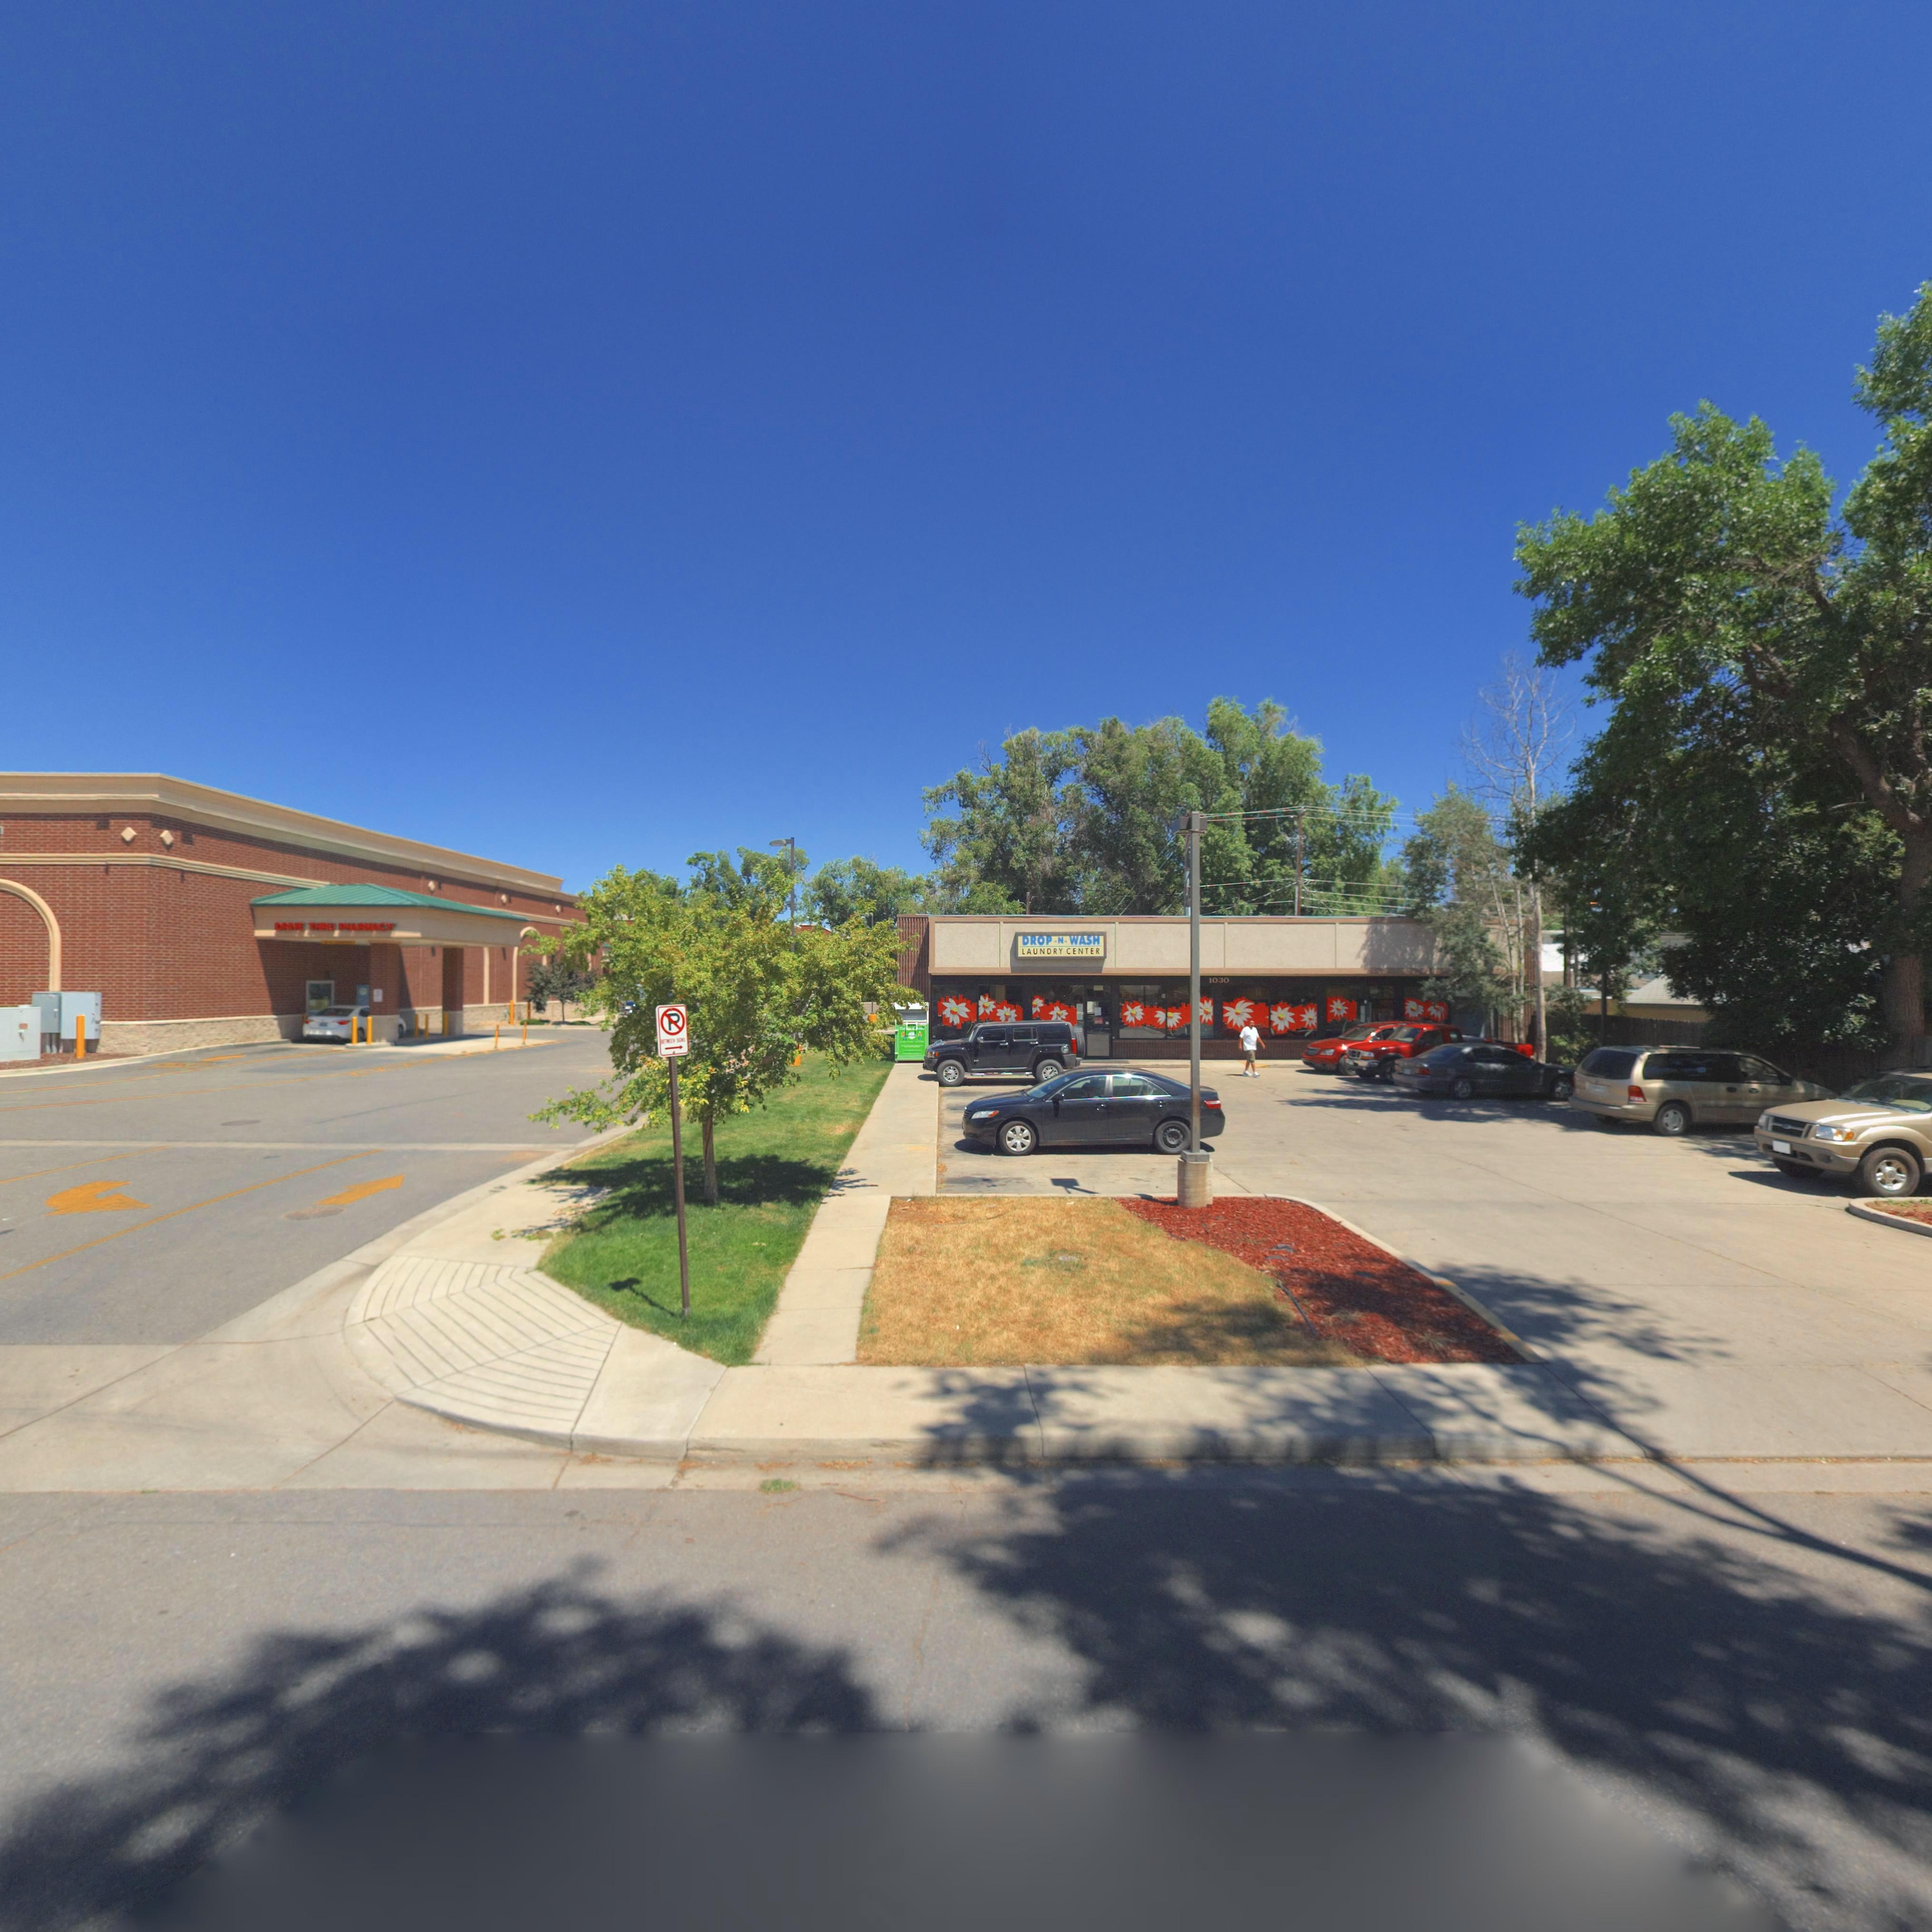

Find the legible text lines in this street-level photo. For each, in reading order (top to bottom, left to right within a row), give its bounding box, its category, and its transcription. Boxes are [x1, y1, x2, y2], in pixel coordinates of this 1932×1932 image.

[1022, 935, 1100, 946] BusinessName: DROP *N* WASH
[1021, 947, 1100, 955] BusinessName: LAUNDRY CENTER
[1209, 977, 1229, 983] StreetNumber: 1030